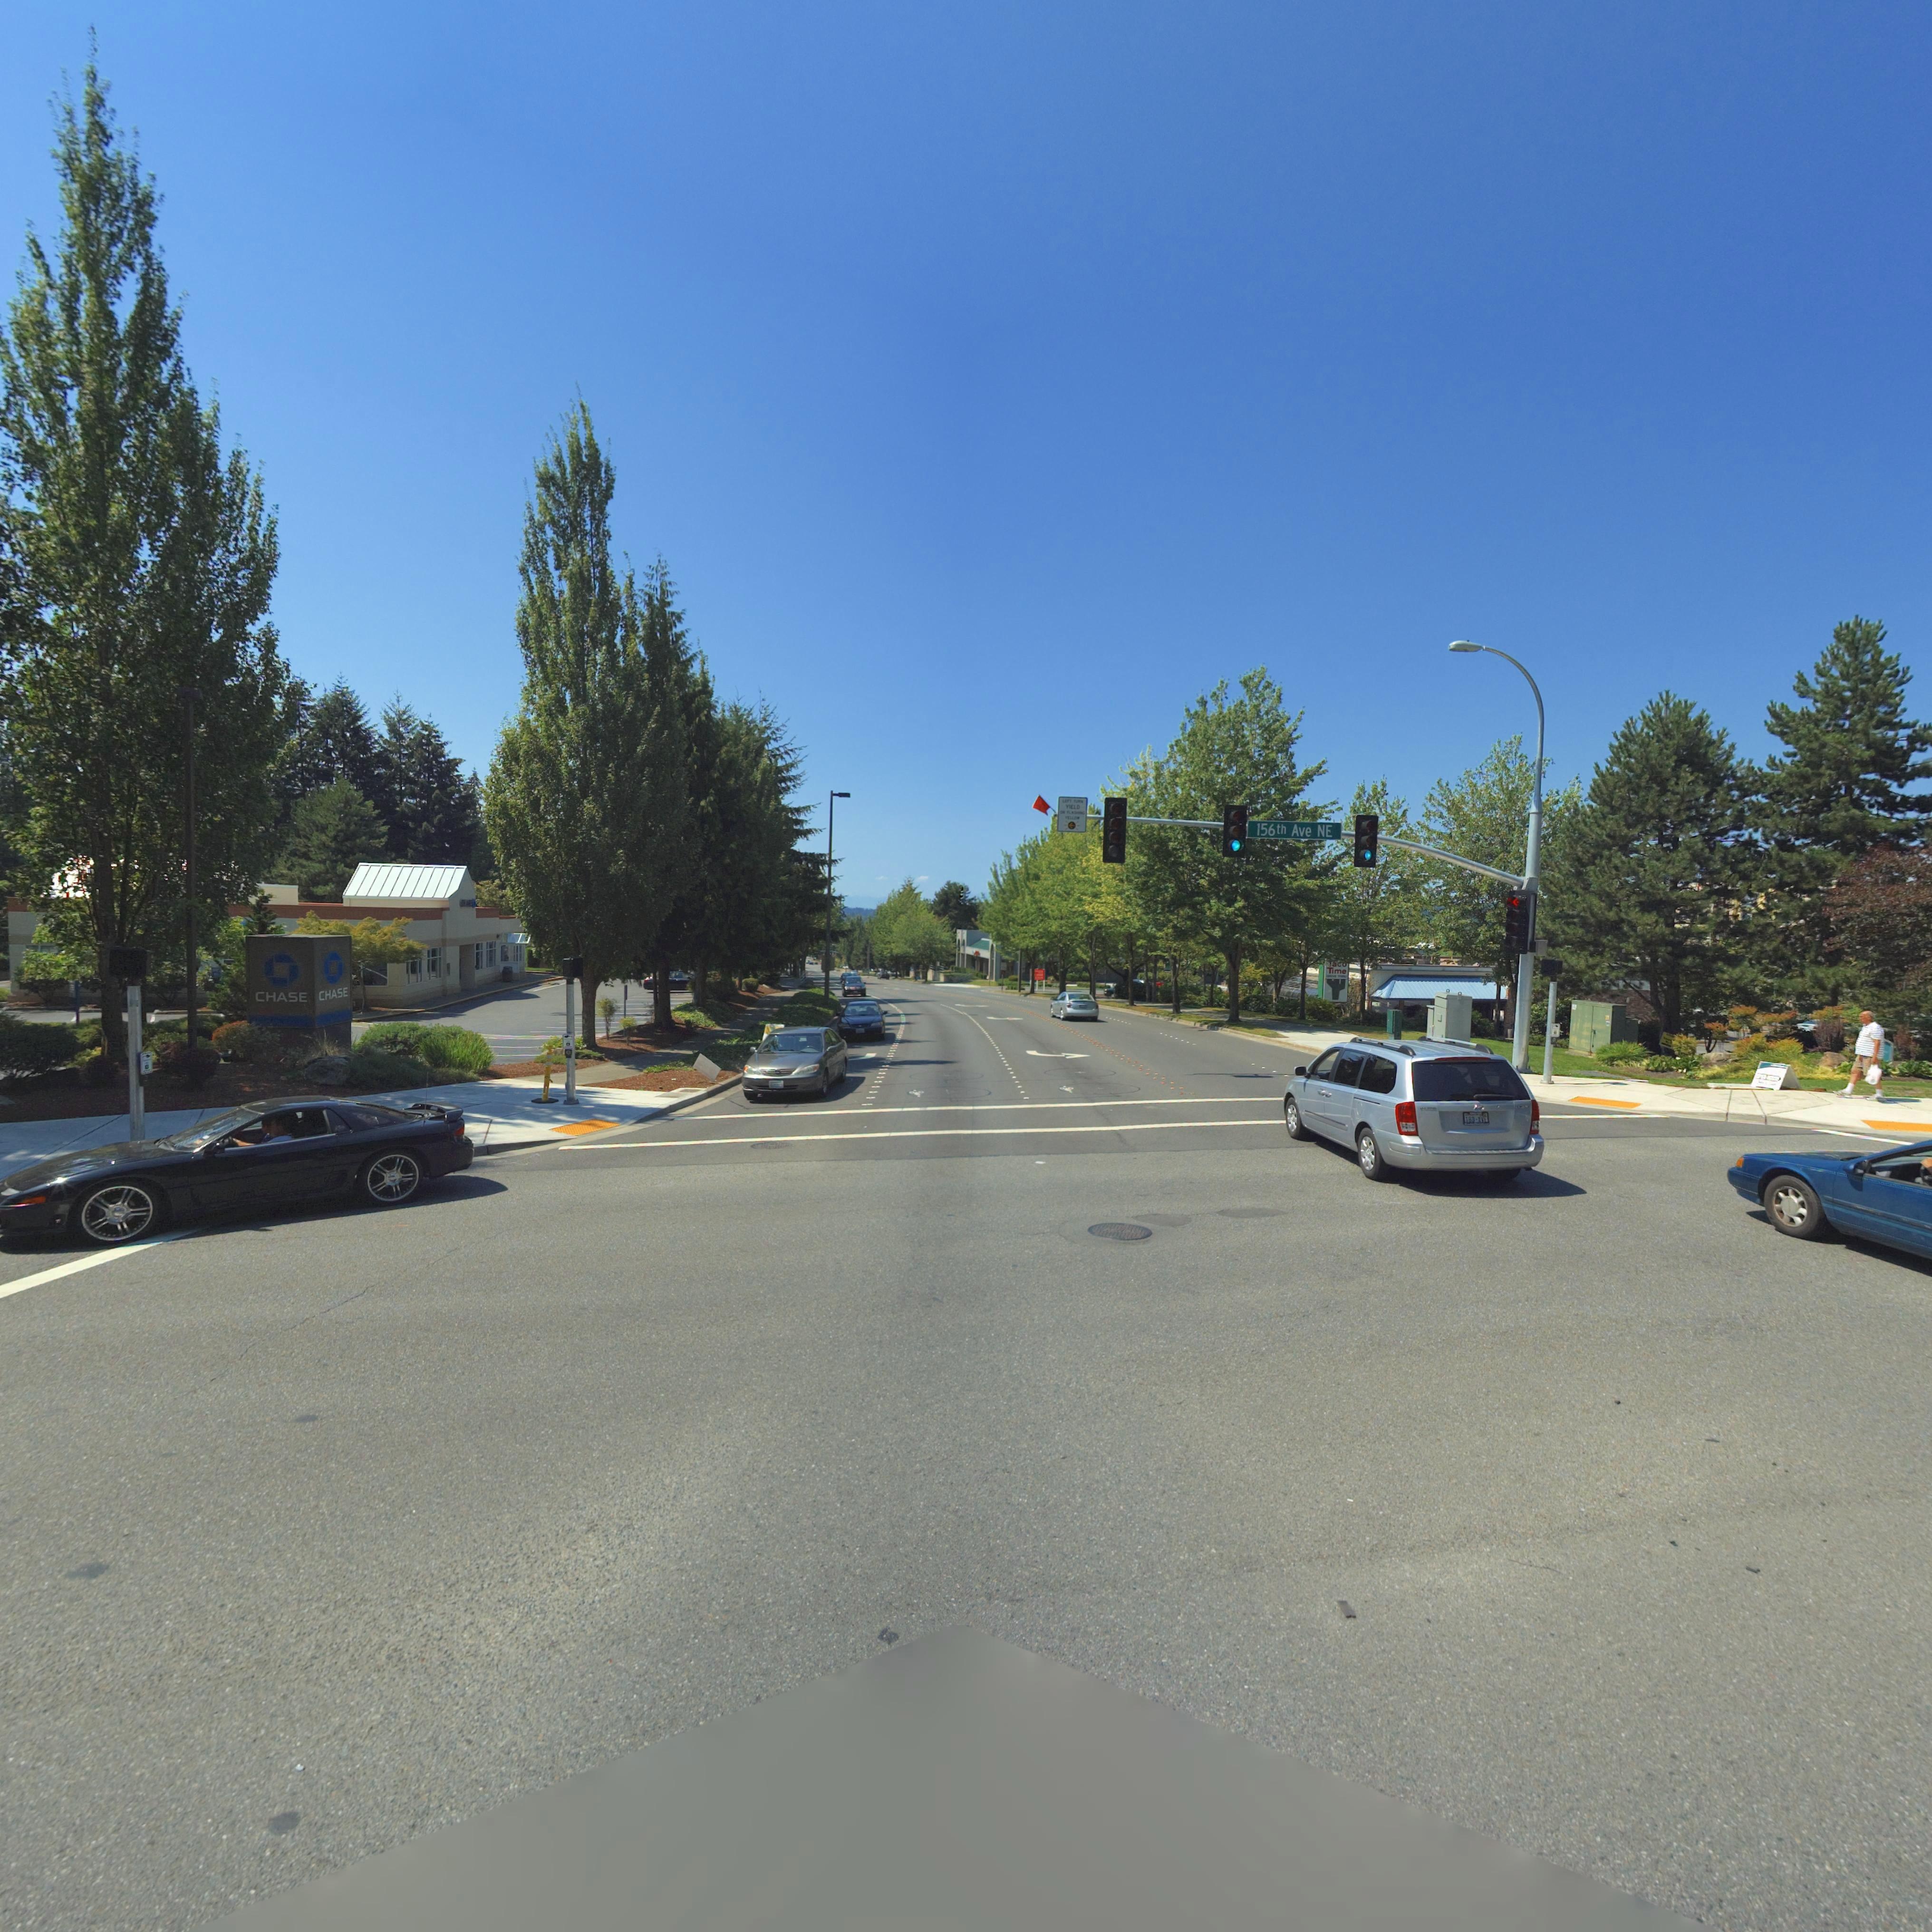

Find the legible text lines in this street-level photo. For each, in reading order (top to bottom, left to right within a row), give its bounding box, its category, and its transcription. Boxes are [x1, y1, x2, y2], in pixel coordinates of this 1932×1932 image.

[1256, 822, 1333, 837] StreetName: 156th Ave NE
[1332, 961, 1347, 966] BusinessName: aco
[1326, 967, 1347, 974] BusinessName: Time
[254, 990, 309, 1003] BusinessName: CHASE
[318, 985, 349, 1002] BusinessName: CHASE